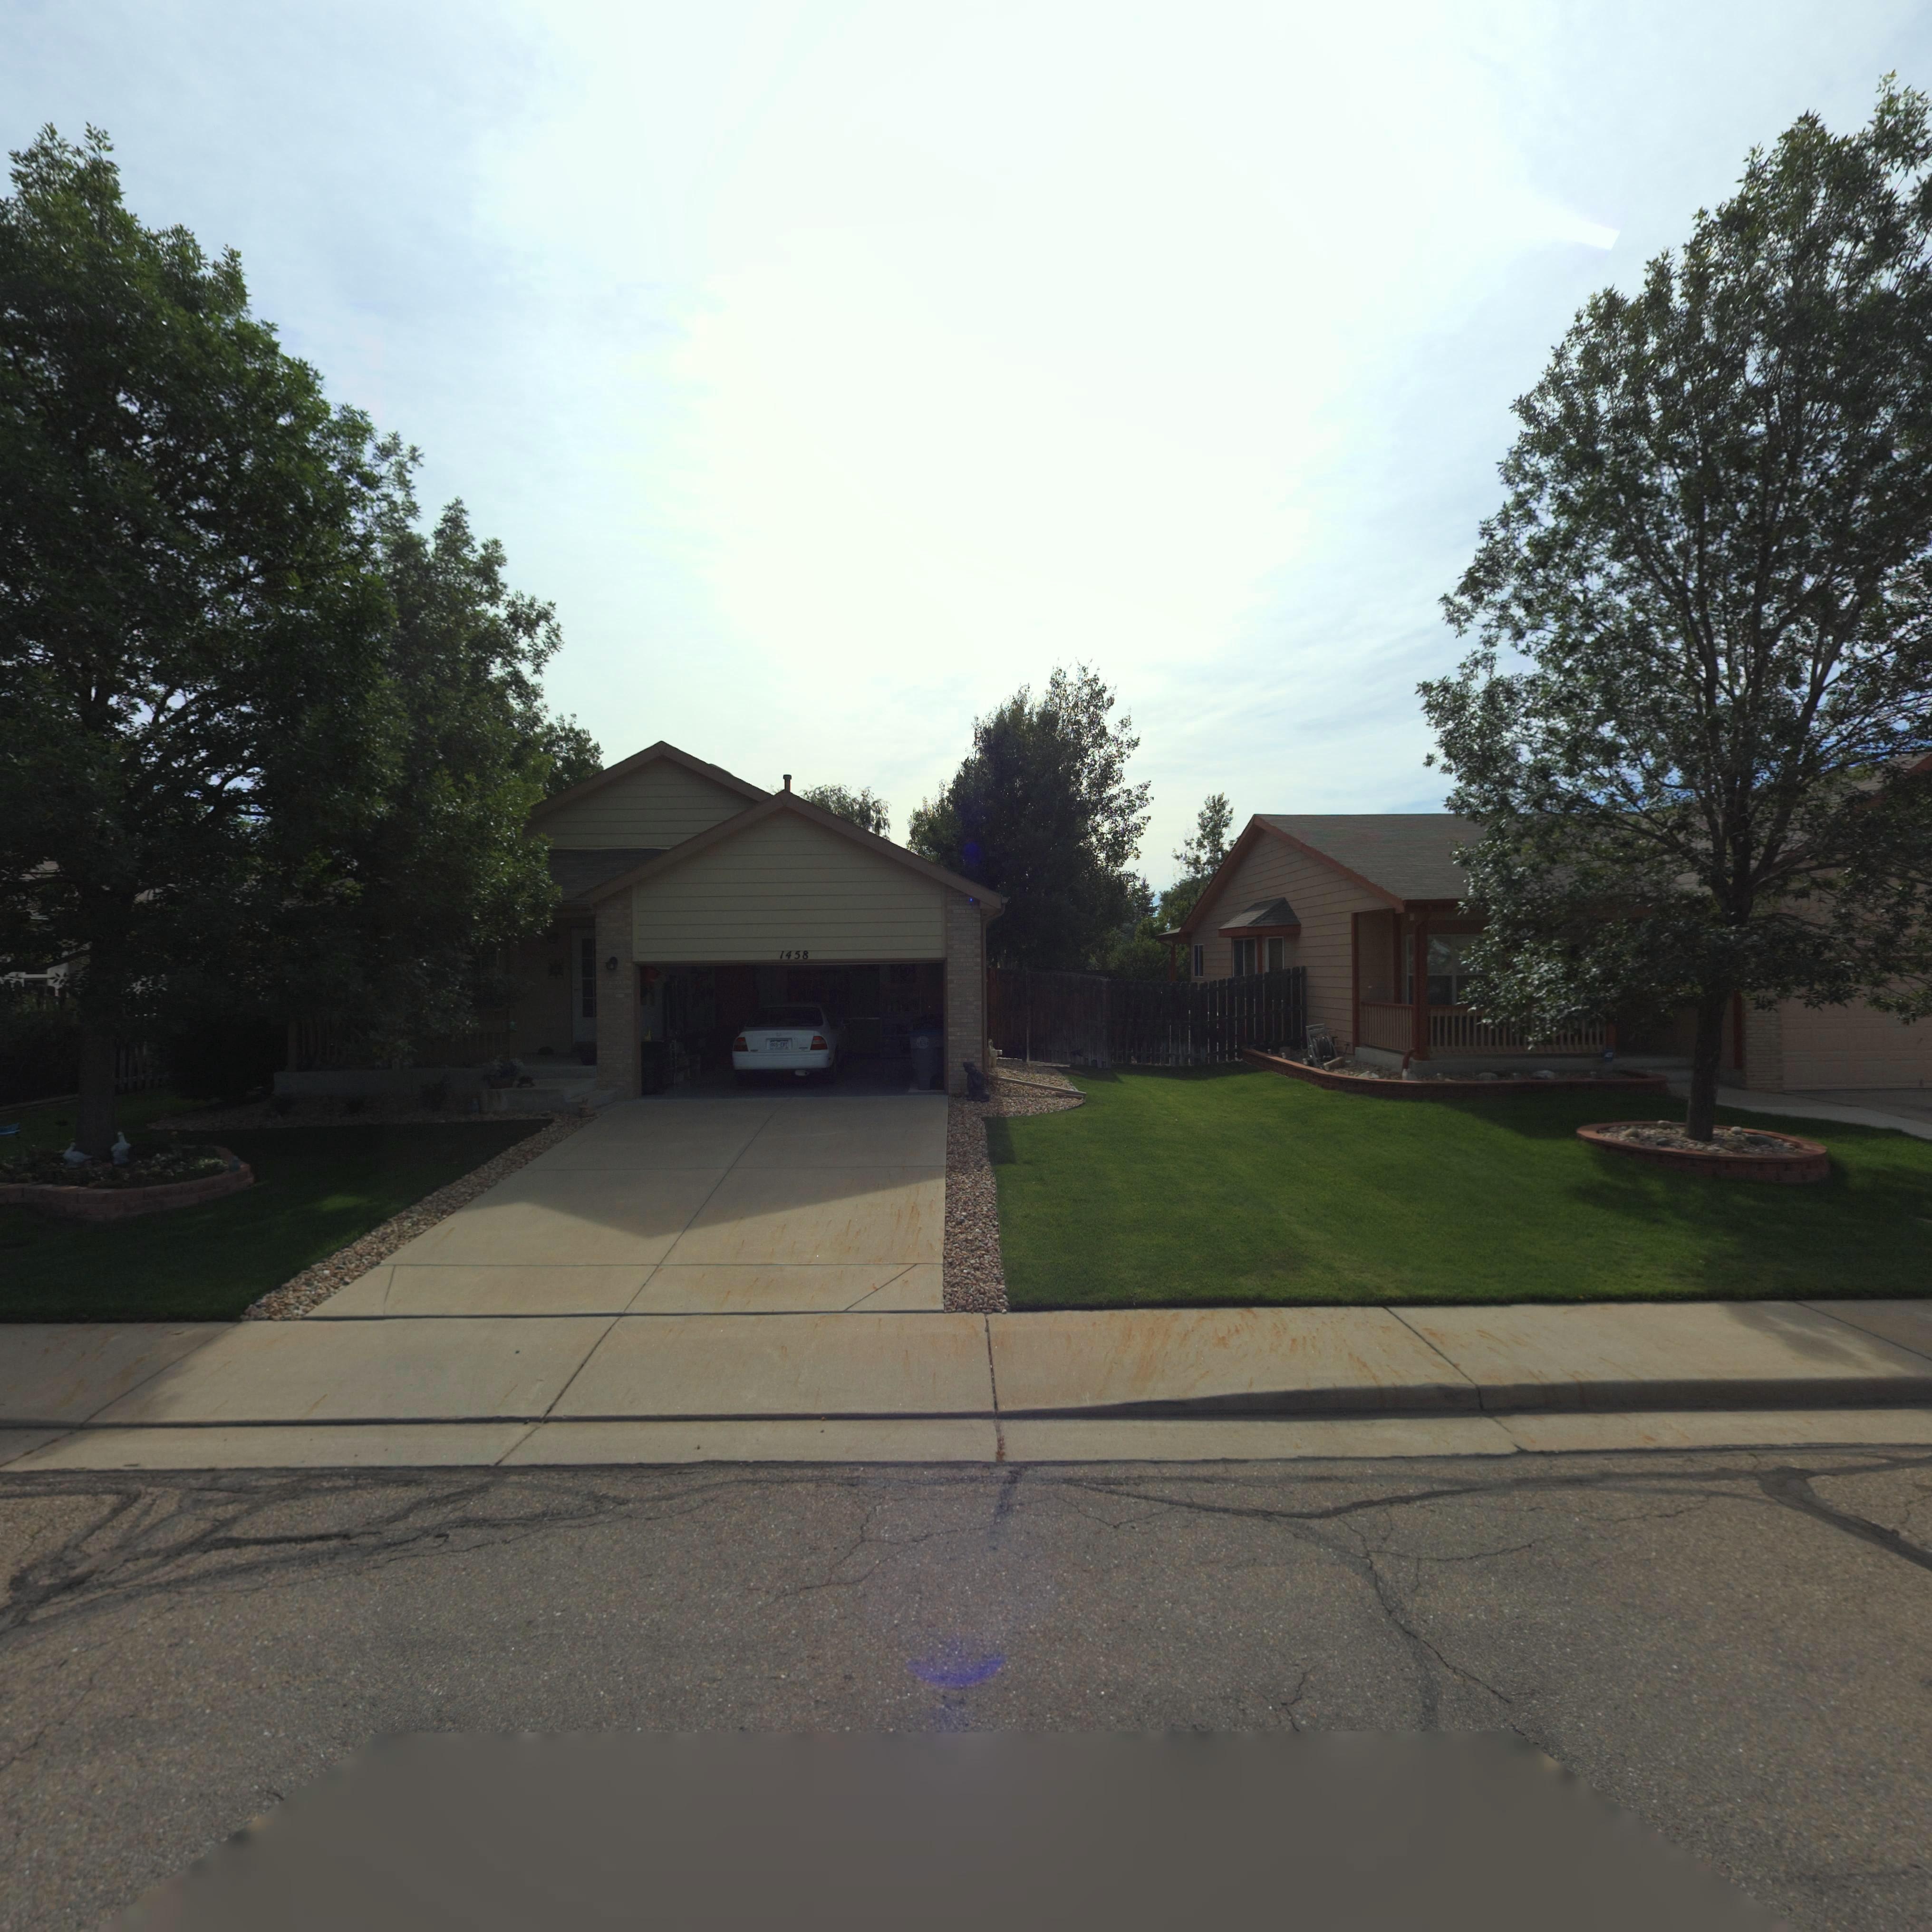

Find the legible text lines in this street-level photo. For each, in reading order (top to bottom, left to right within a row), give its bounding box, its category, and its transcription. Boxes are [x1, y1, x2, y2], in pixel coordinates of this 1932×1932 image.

[779, 950, 809, 960] StreetNumber: 1458